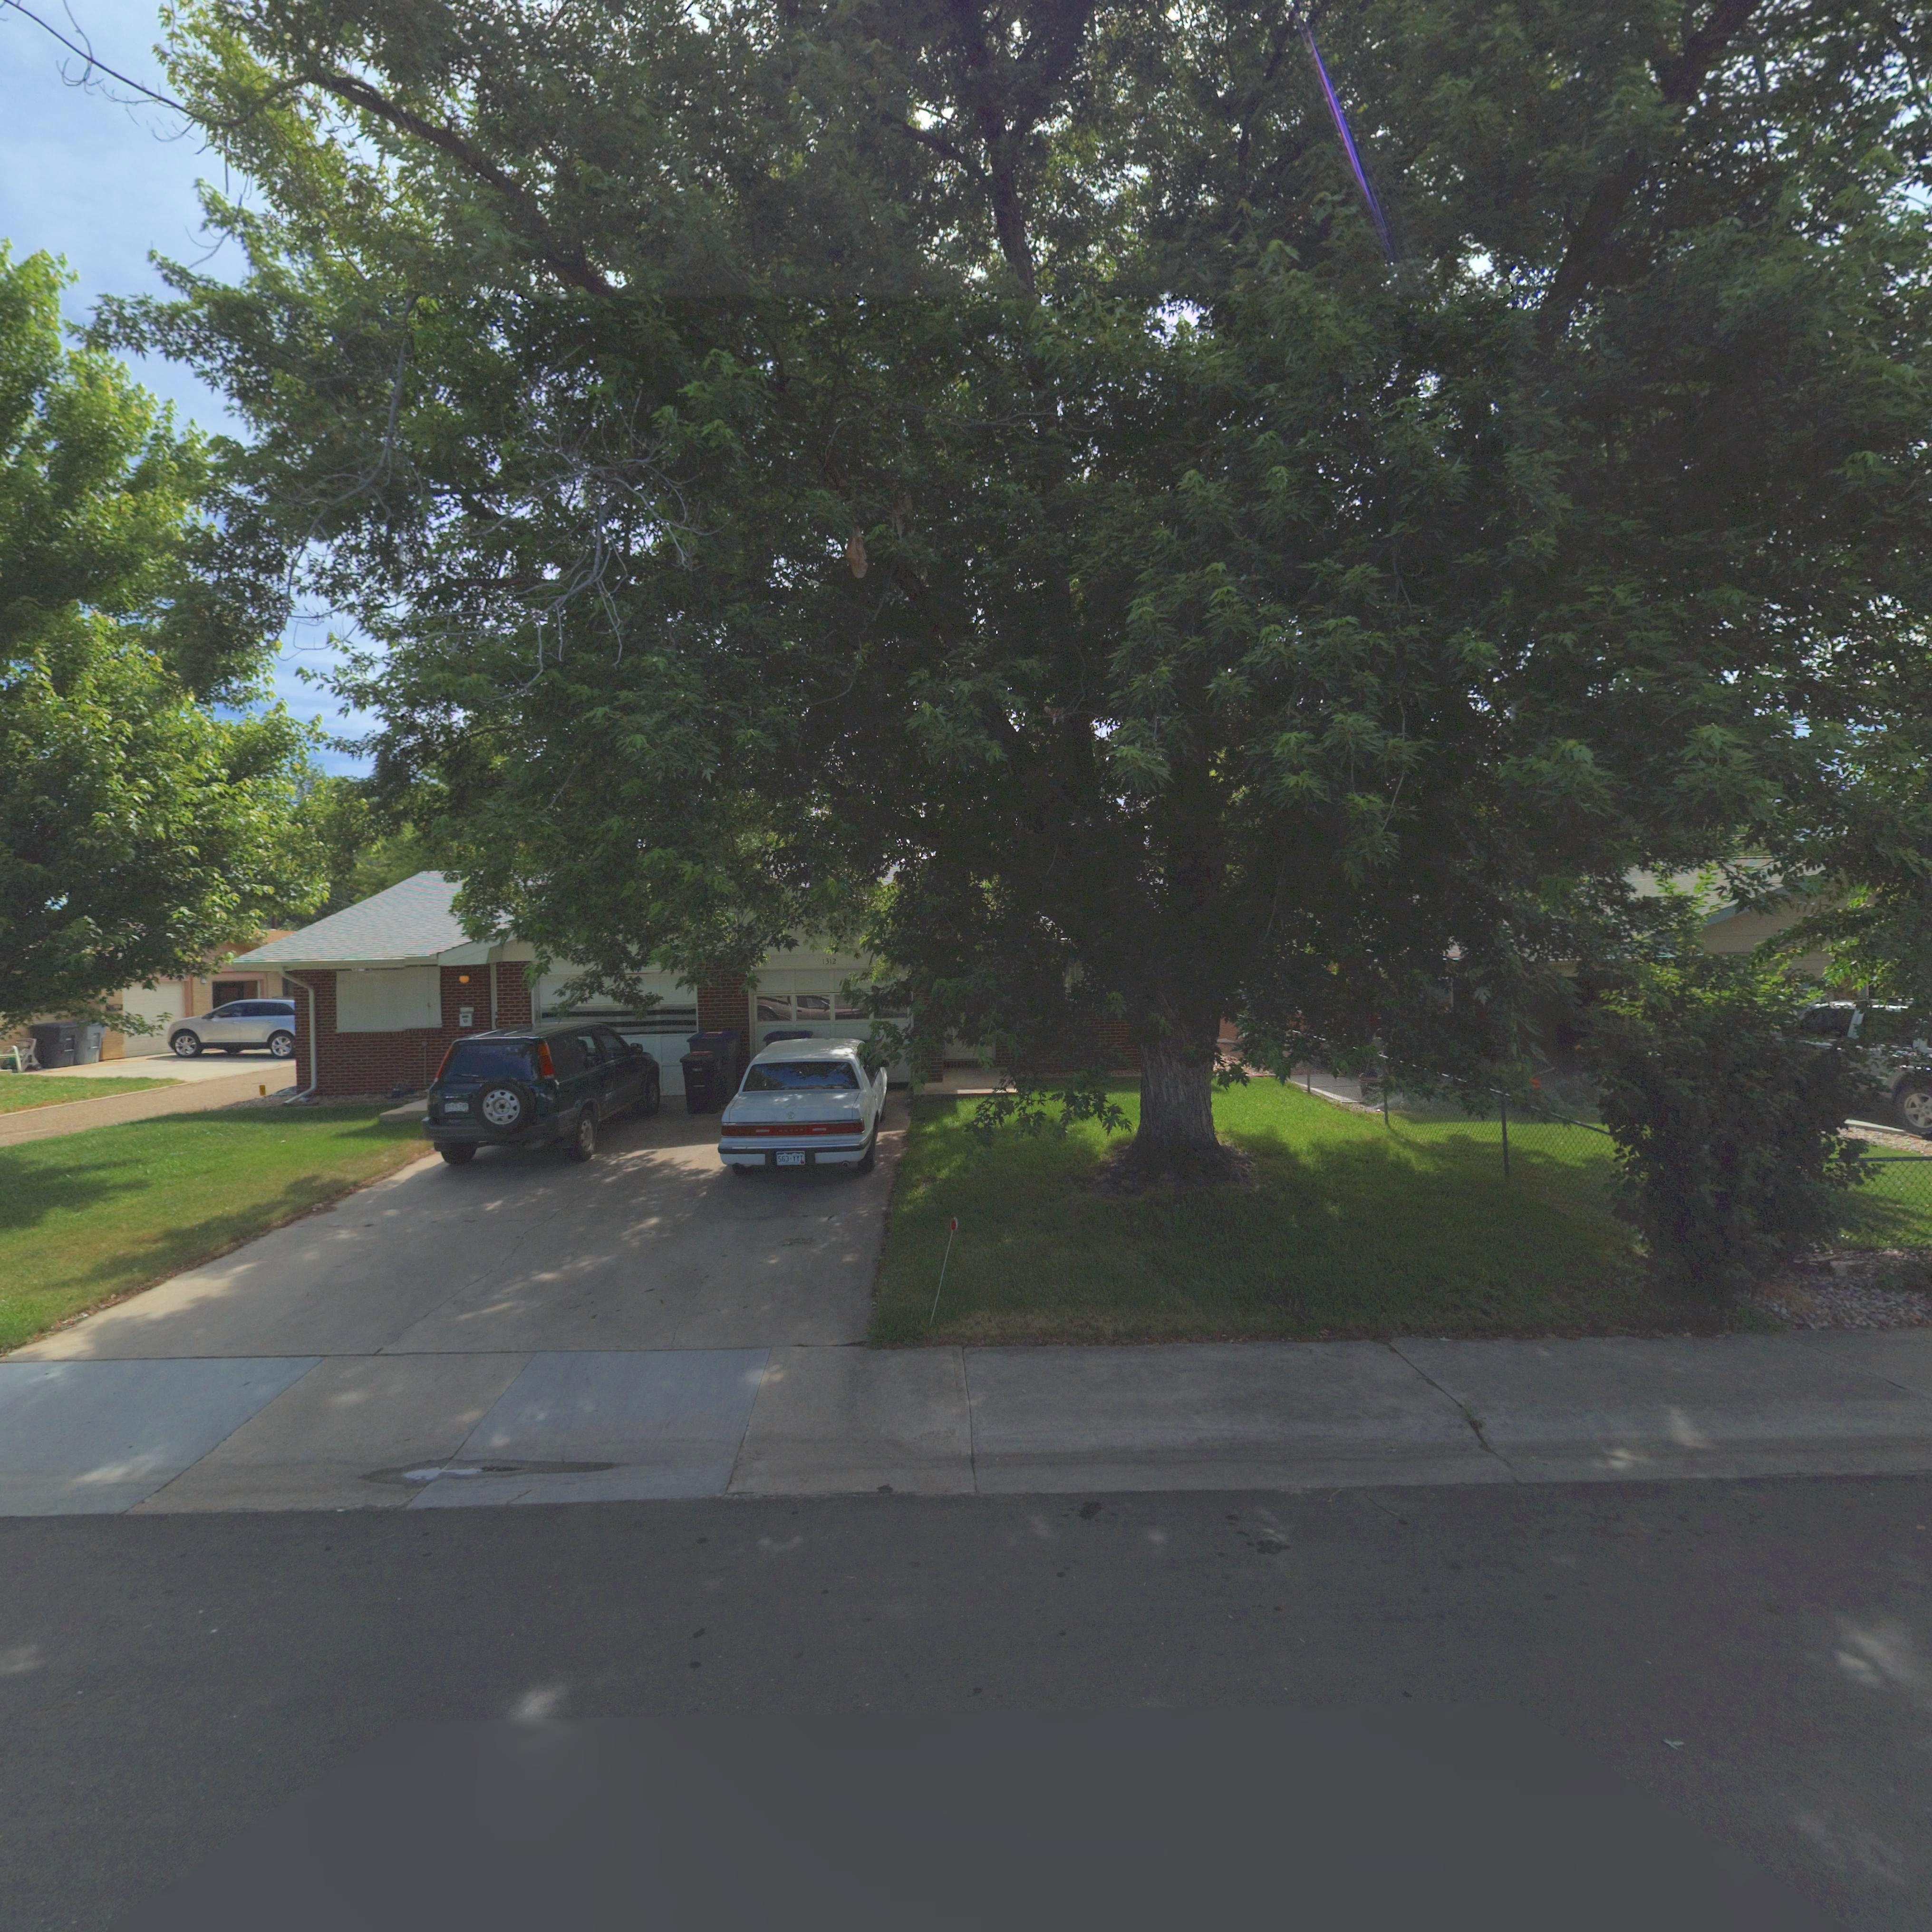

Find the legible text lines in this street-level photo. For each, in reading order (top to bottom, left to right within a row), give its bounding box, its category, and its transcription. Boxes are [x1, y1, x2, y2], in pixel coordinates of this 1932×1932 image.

[822, 957, 837, 965] StreetNumber: 1312